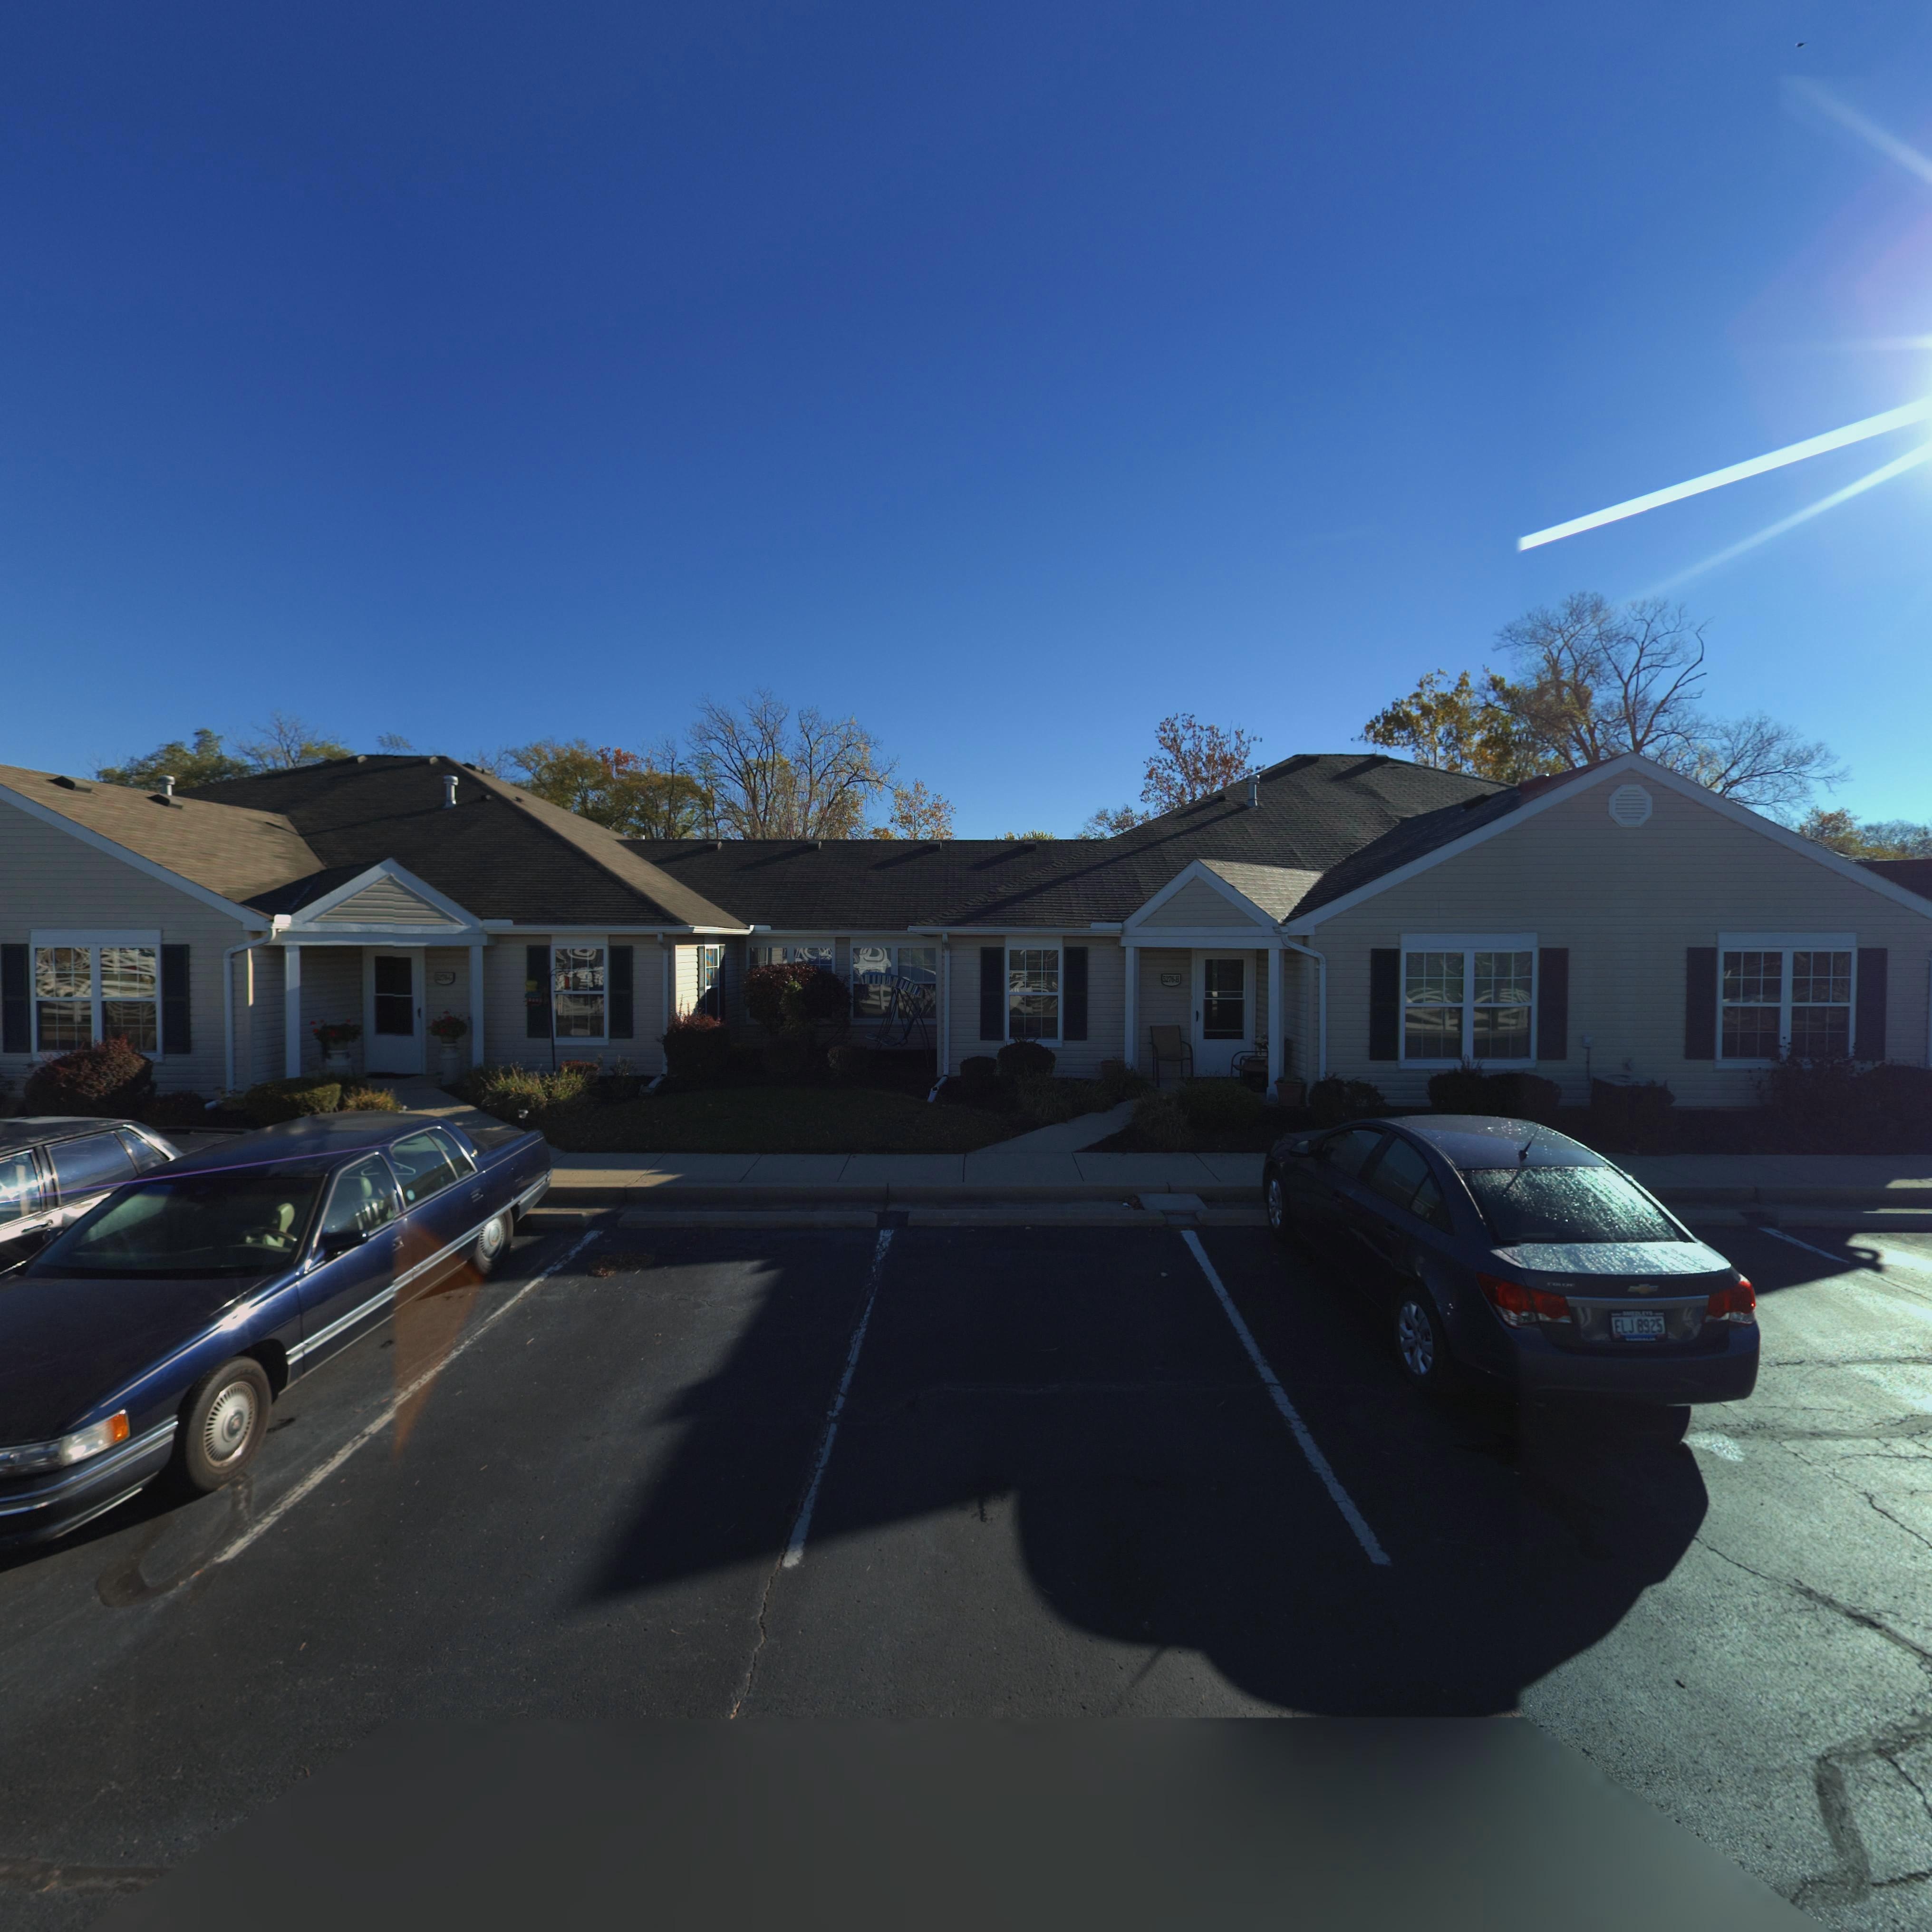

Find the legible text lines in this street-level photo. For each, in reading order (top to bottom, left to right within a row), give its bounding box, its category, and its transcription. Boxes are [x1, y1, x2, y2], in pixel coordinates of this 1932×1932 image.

[435, 973, 452, 980] StreetNumber: 5276-G
[1162, 975, 1179, 983] StreetNumber: 5276-H